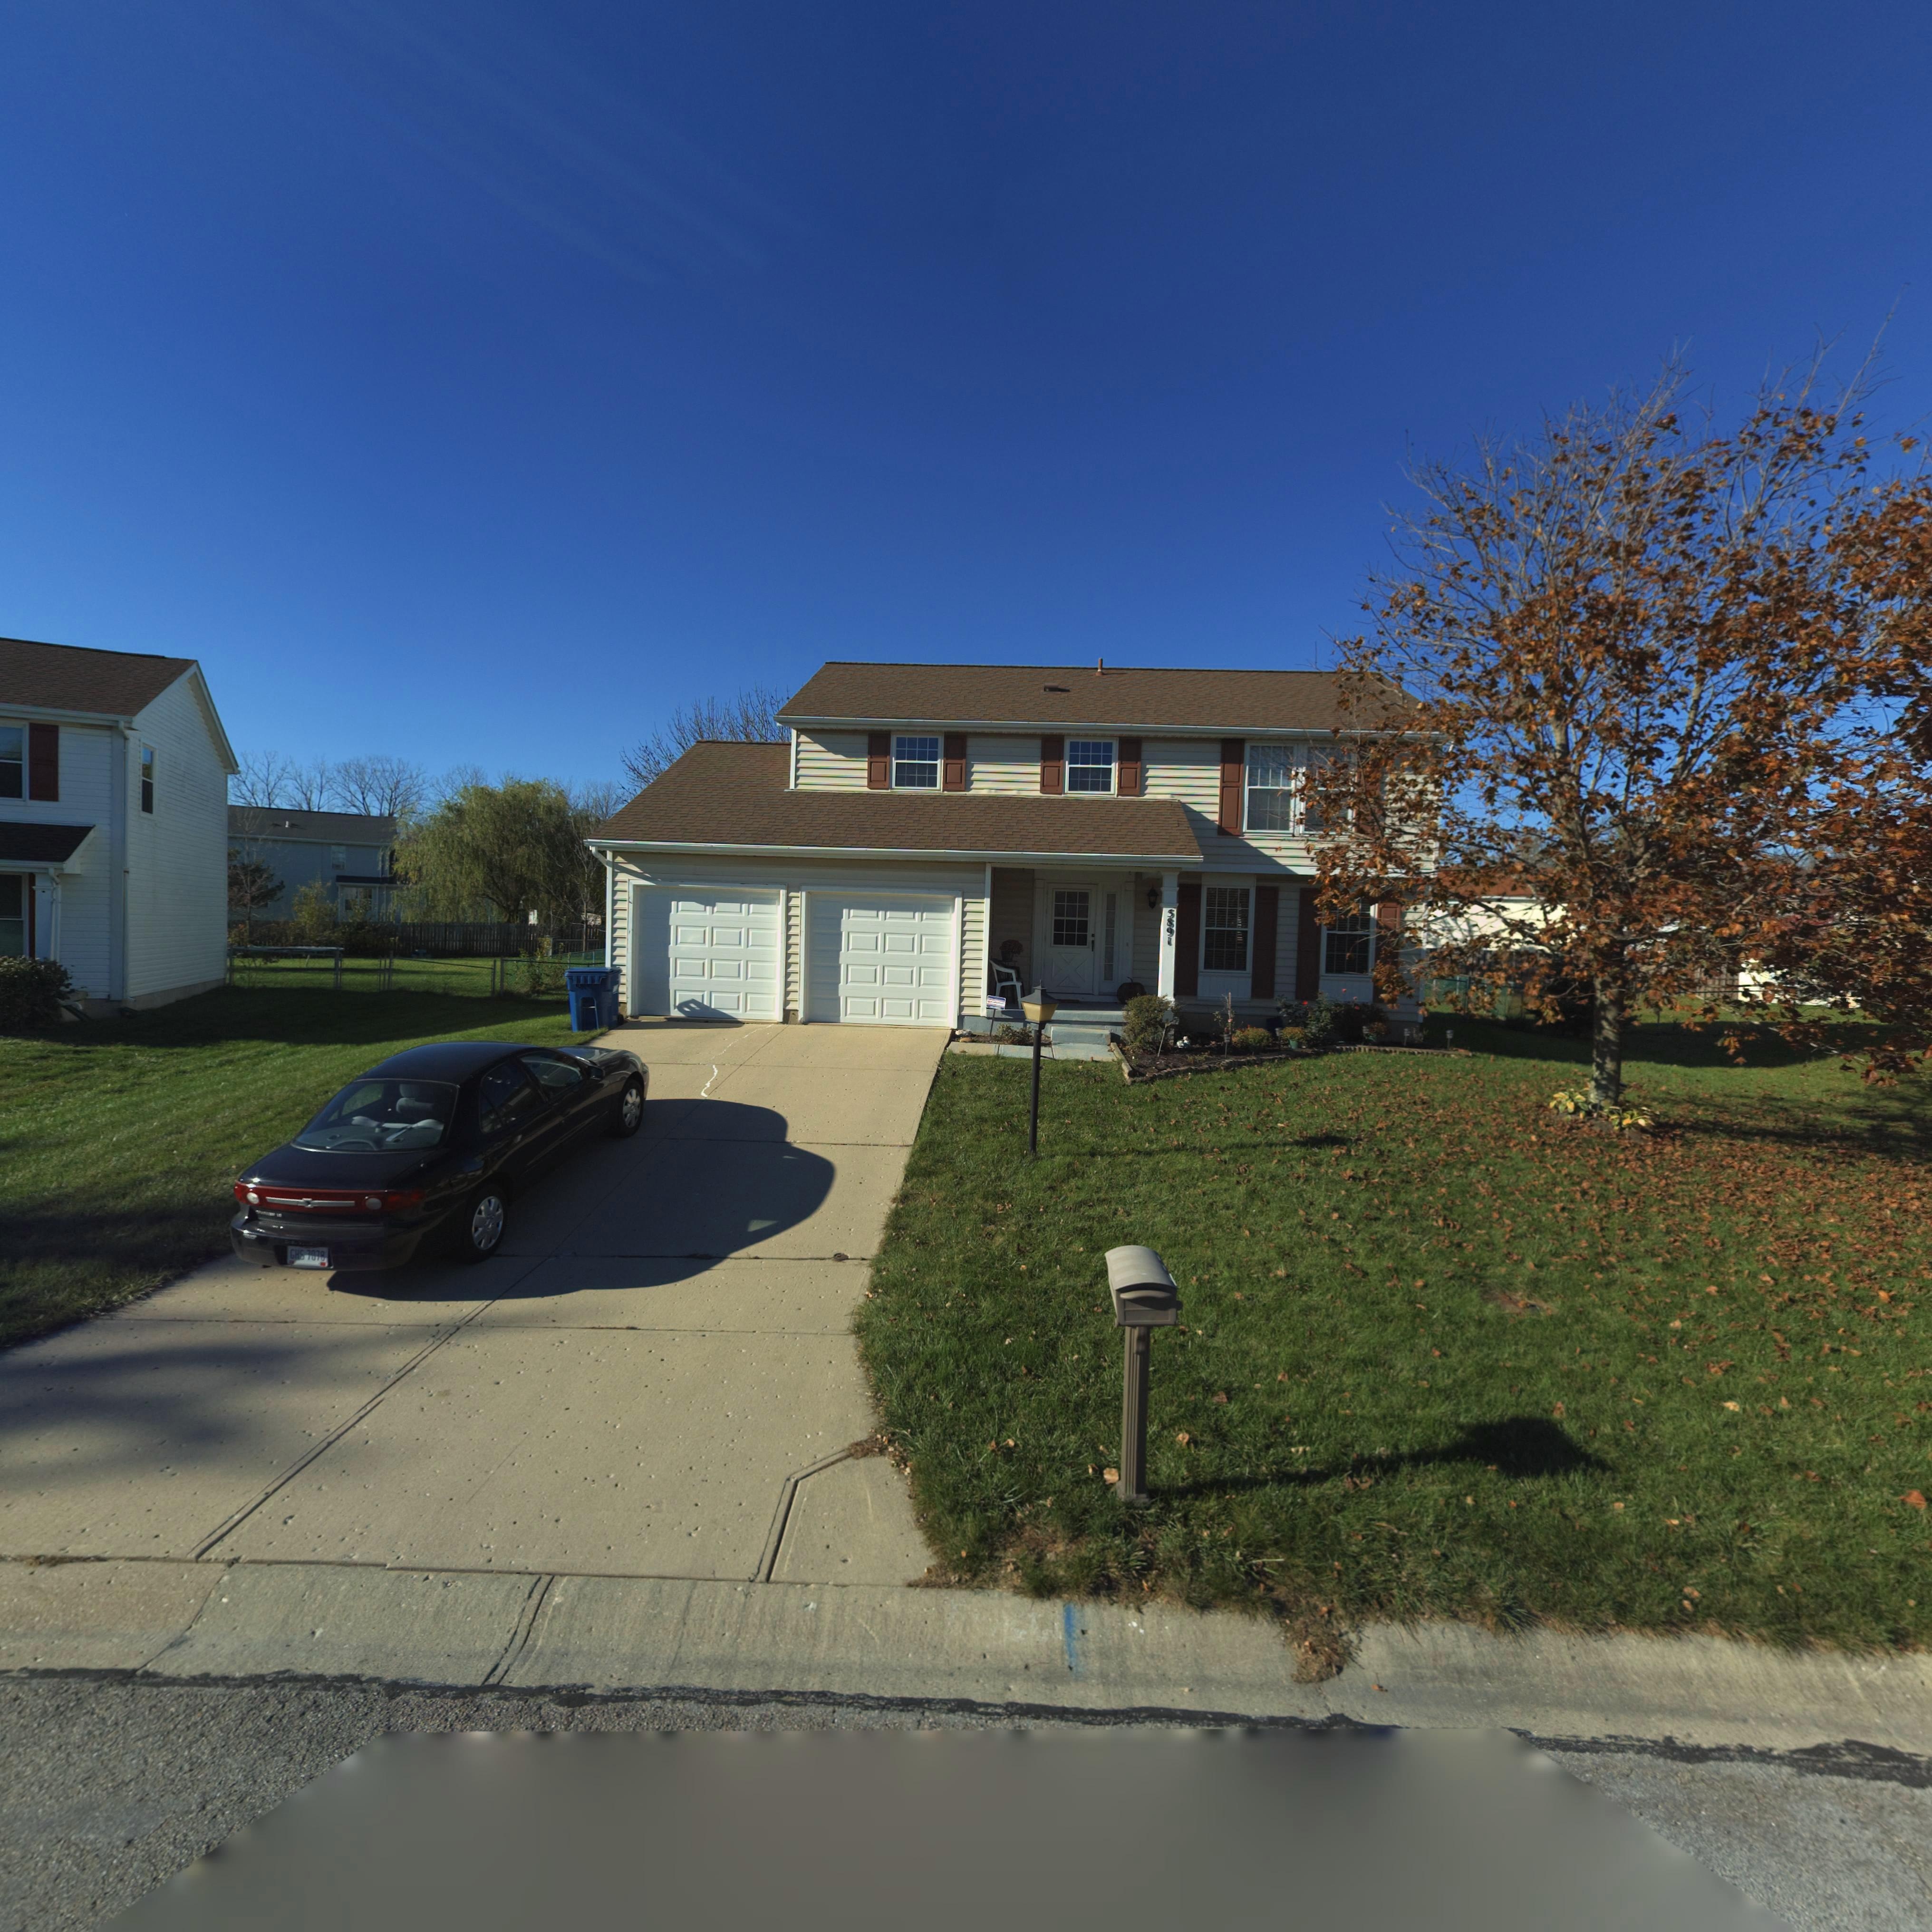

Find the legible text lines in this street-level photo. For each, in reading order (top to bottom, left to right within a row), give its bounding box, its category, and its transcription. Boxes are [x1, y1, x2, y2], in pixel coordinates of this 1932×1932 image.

[1165, 909, 1174, 947] StreetNumber: 5891